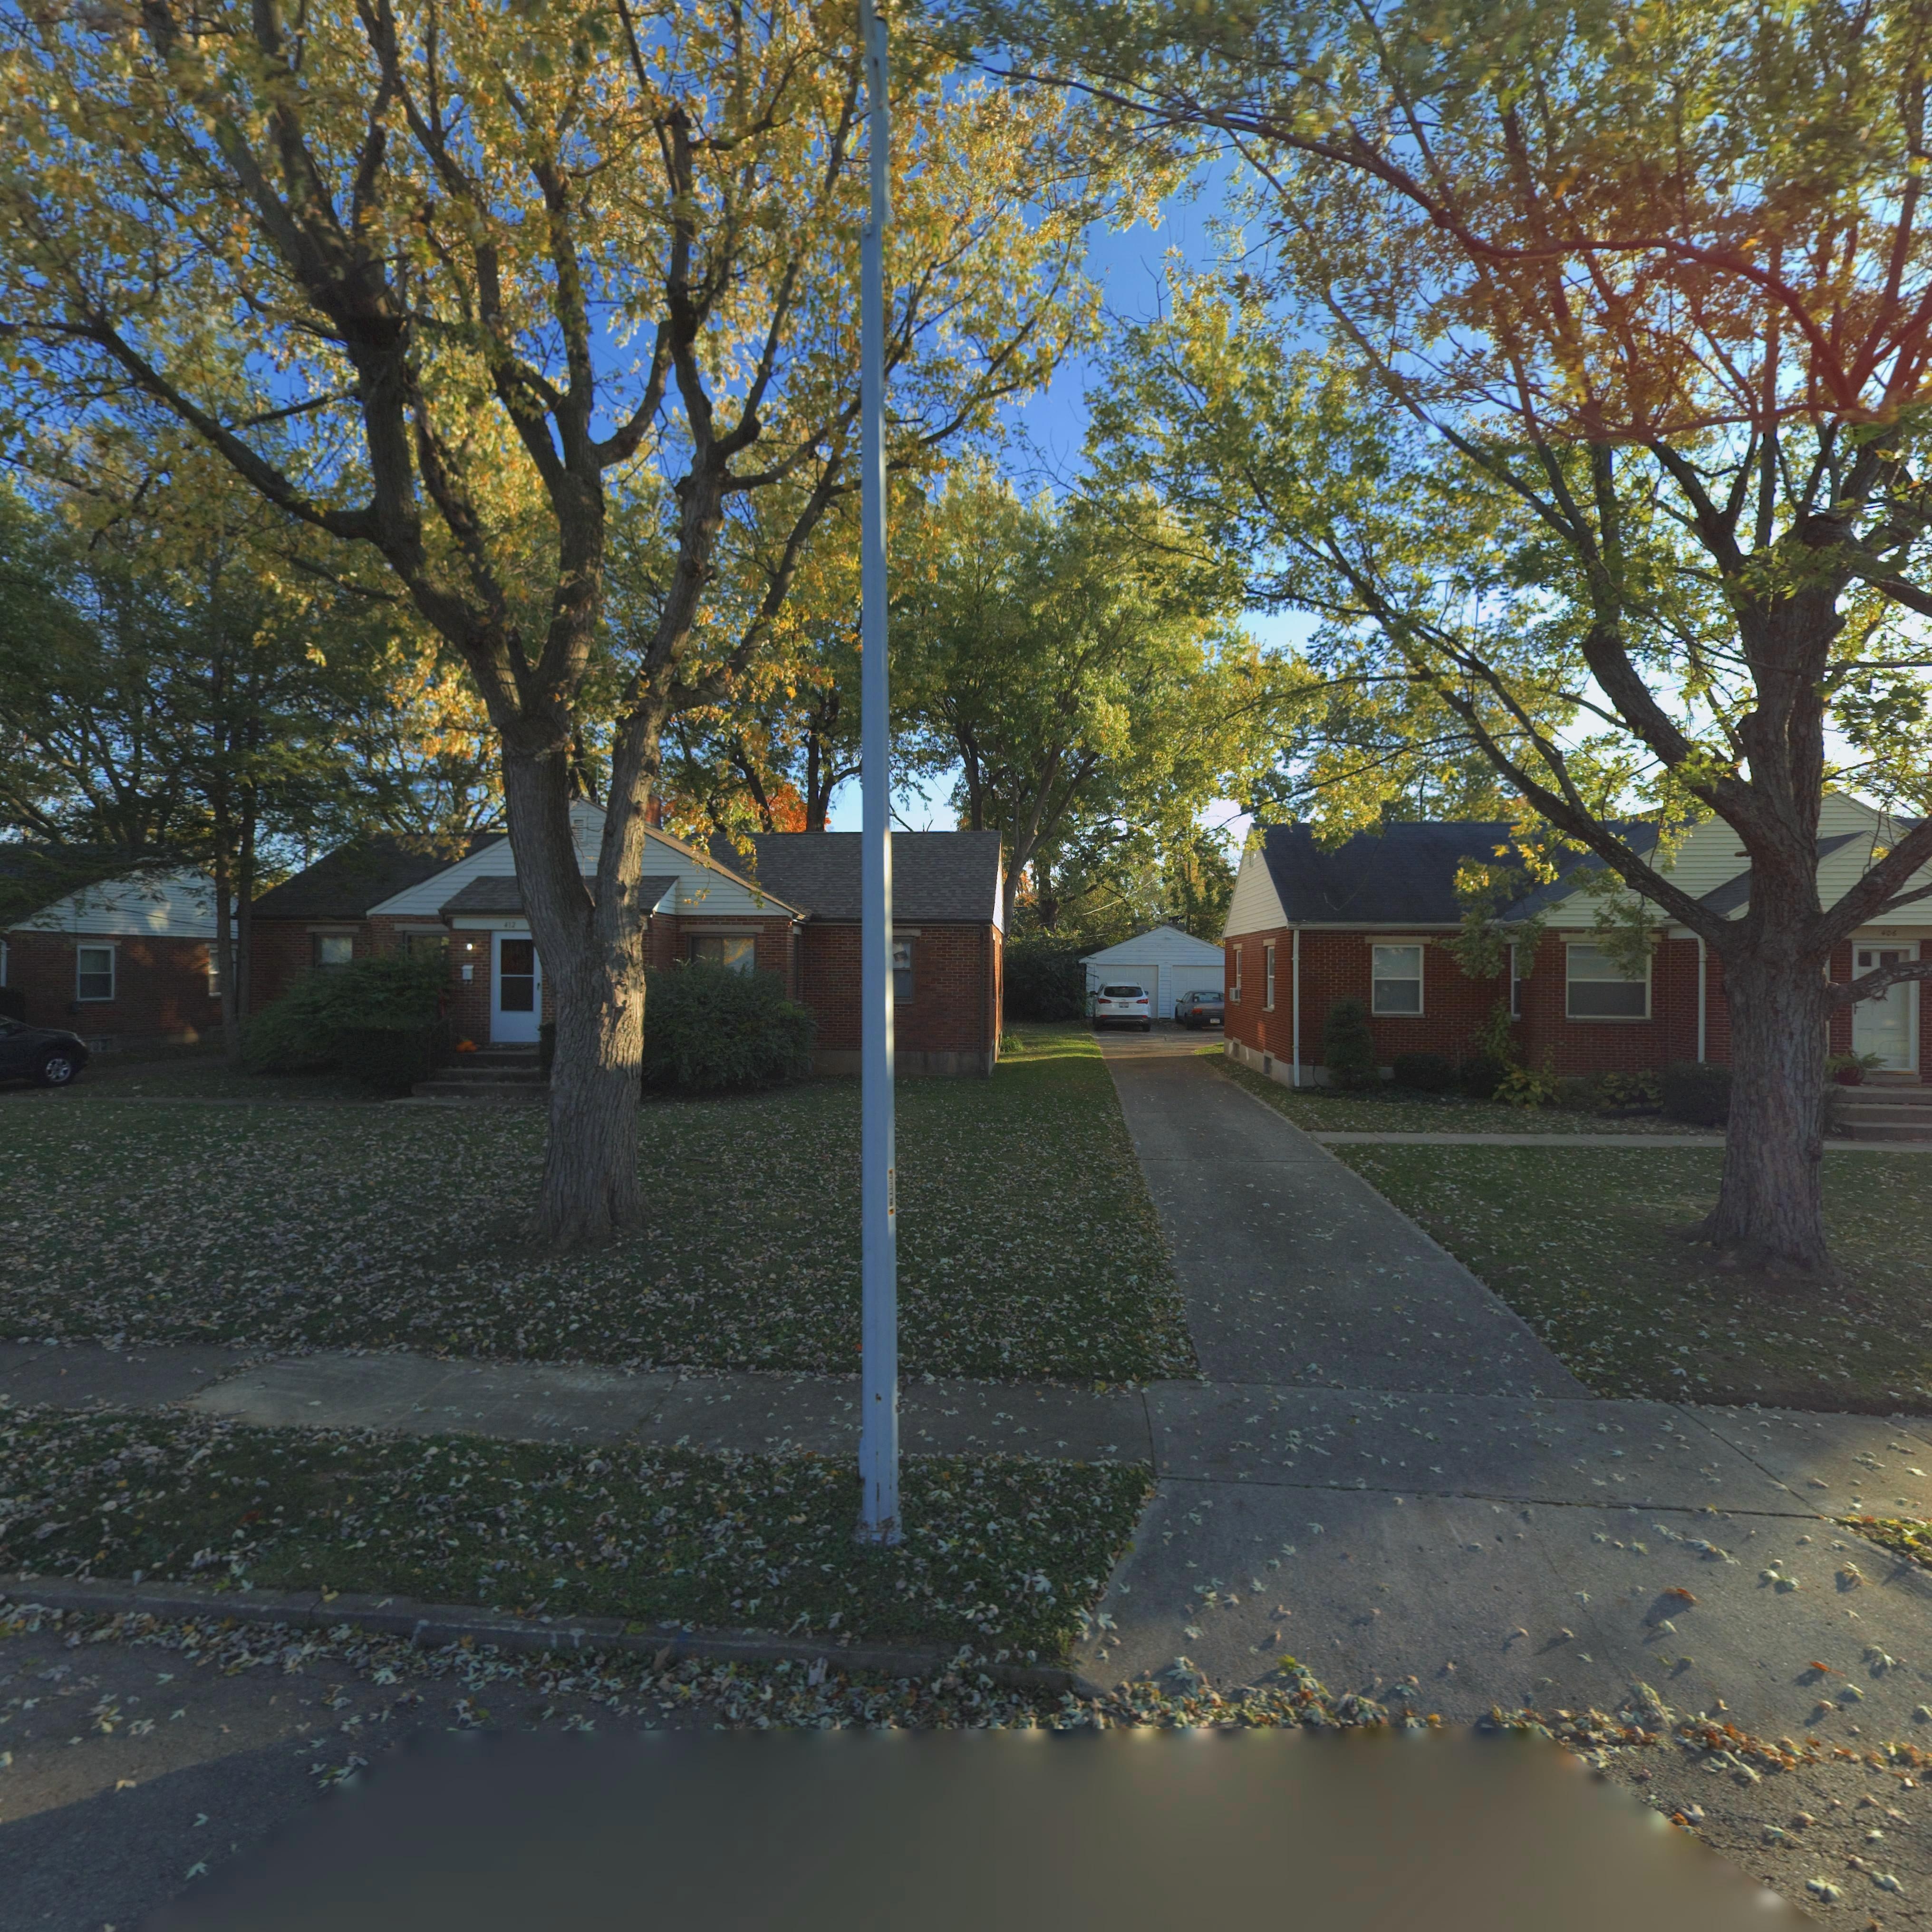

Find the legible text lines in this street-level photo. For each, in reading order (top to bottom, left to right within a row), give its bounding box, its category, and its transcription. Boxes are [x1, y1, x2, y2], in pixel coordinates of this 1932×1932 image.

[503, 920, 516, 929] StreetNumber: 412
[1879, 928, 1898, 937] StreetNumber: 406